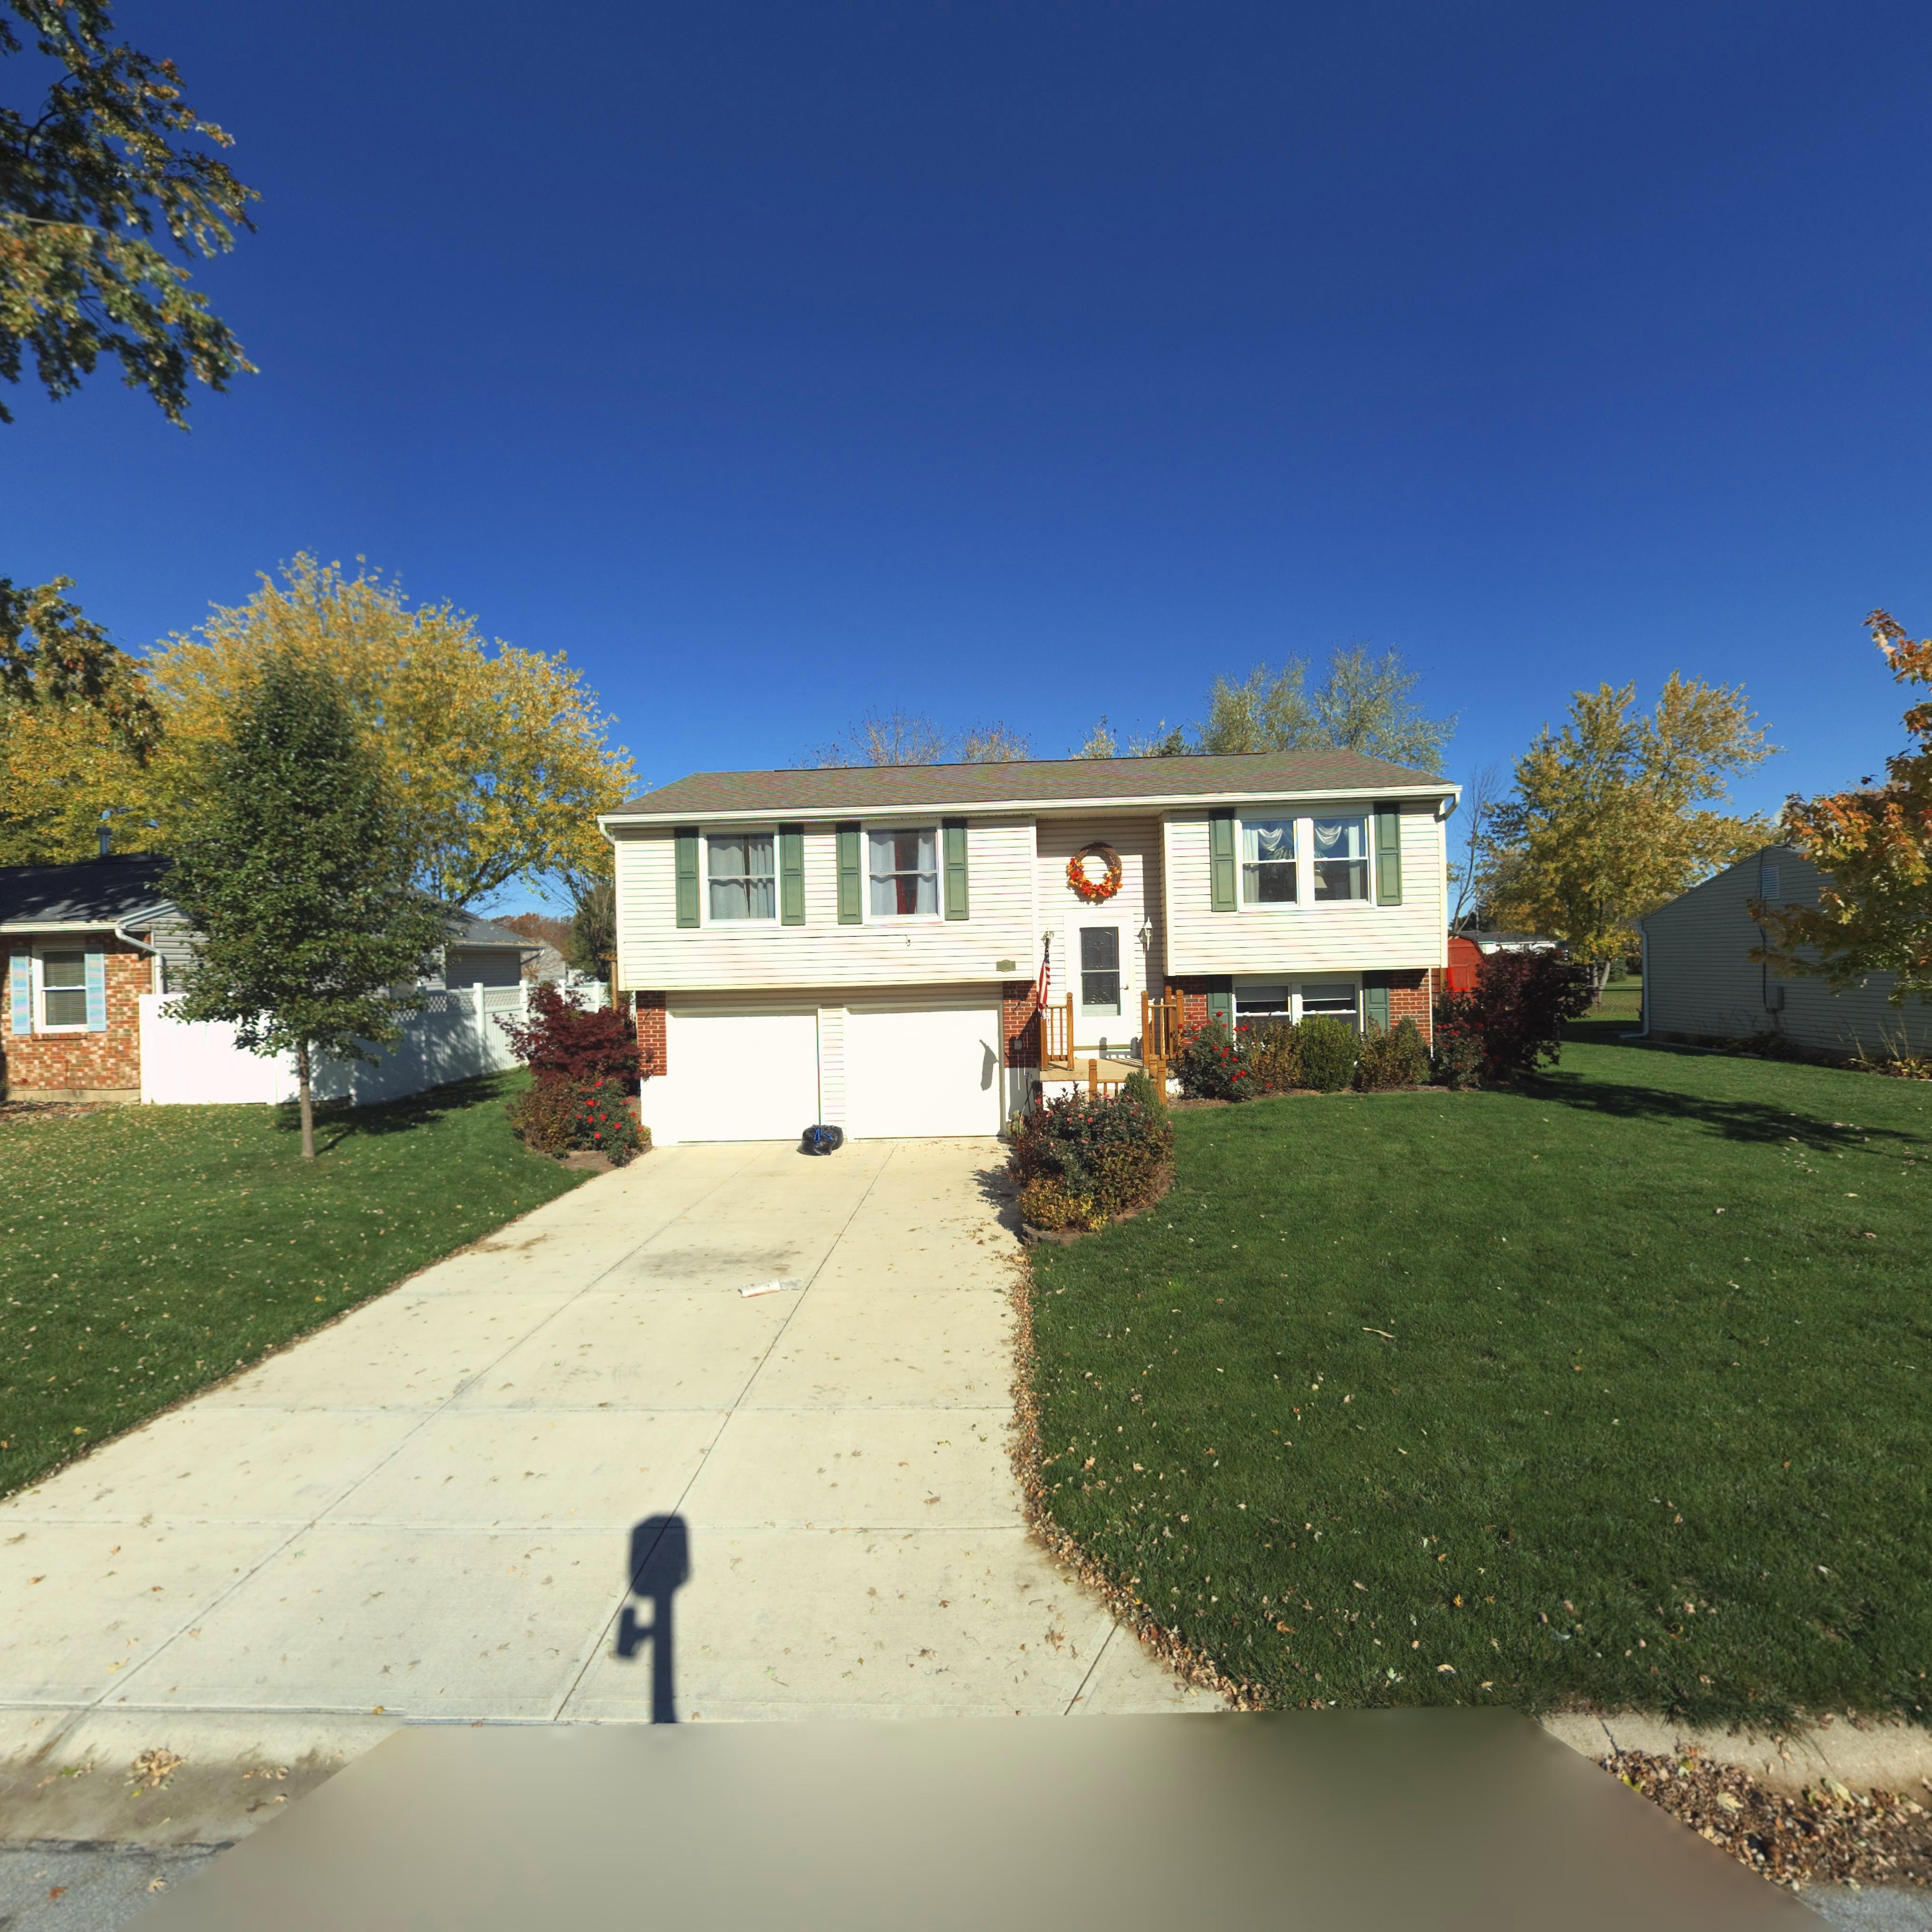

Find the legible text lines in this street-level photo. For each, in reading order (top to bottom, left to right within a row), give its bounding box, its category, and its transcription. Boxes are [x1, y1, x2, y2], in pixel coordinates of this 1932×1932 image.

[1001, 961, 1013, 969] StreetNumber: 1*4